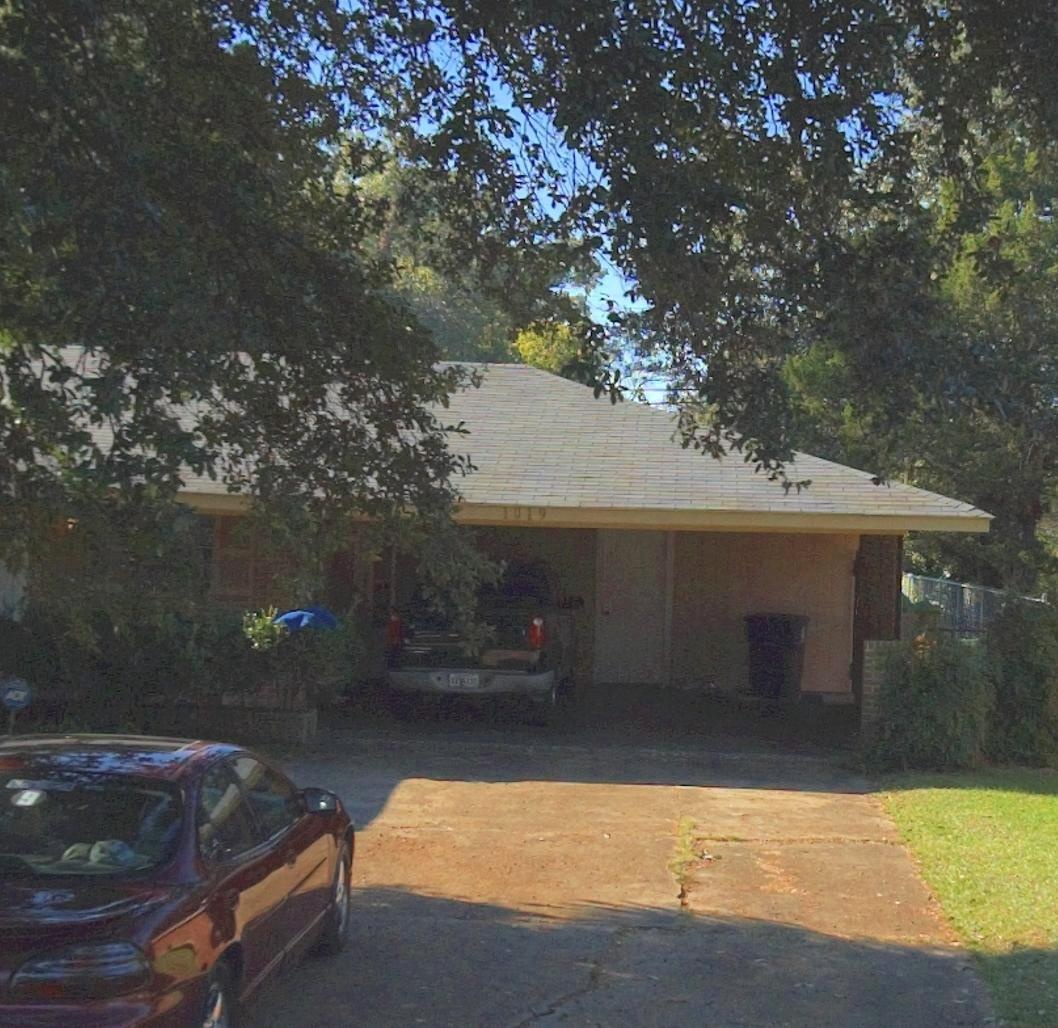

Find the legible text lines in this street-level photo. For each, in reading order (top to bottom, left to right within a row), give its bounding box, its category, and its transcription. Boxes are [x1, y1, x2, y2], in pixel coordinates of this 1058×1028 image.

[502, 505, 547, 522] StreetNumber: 1019